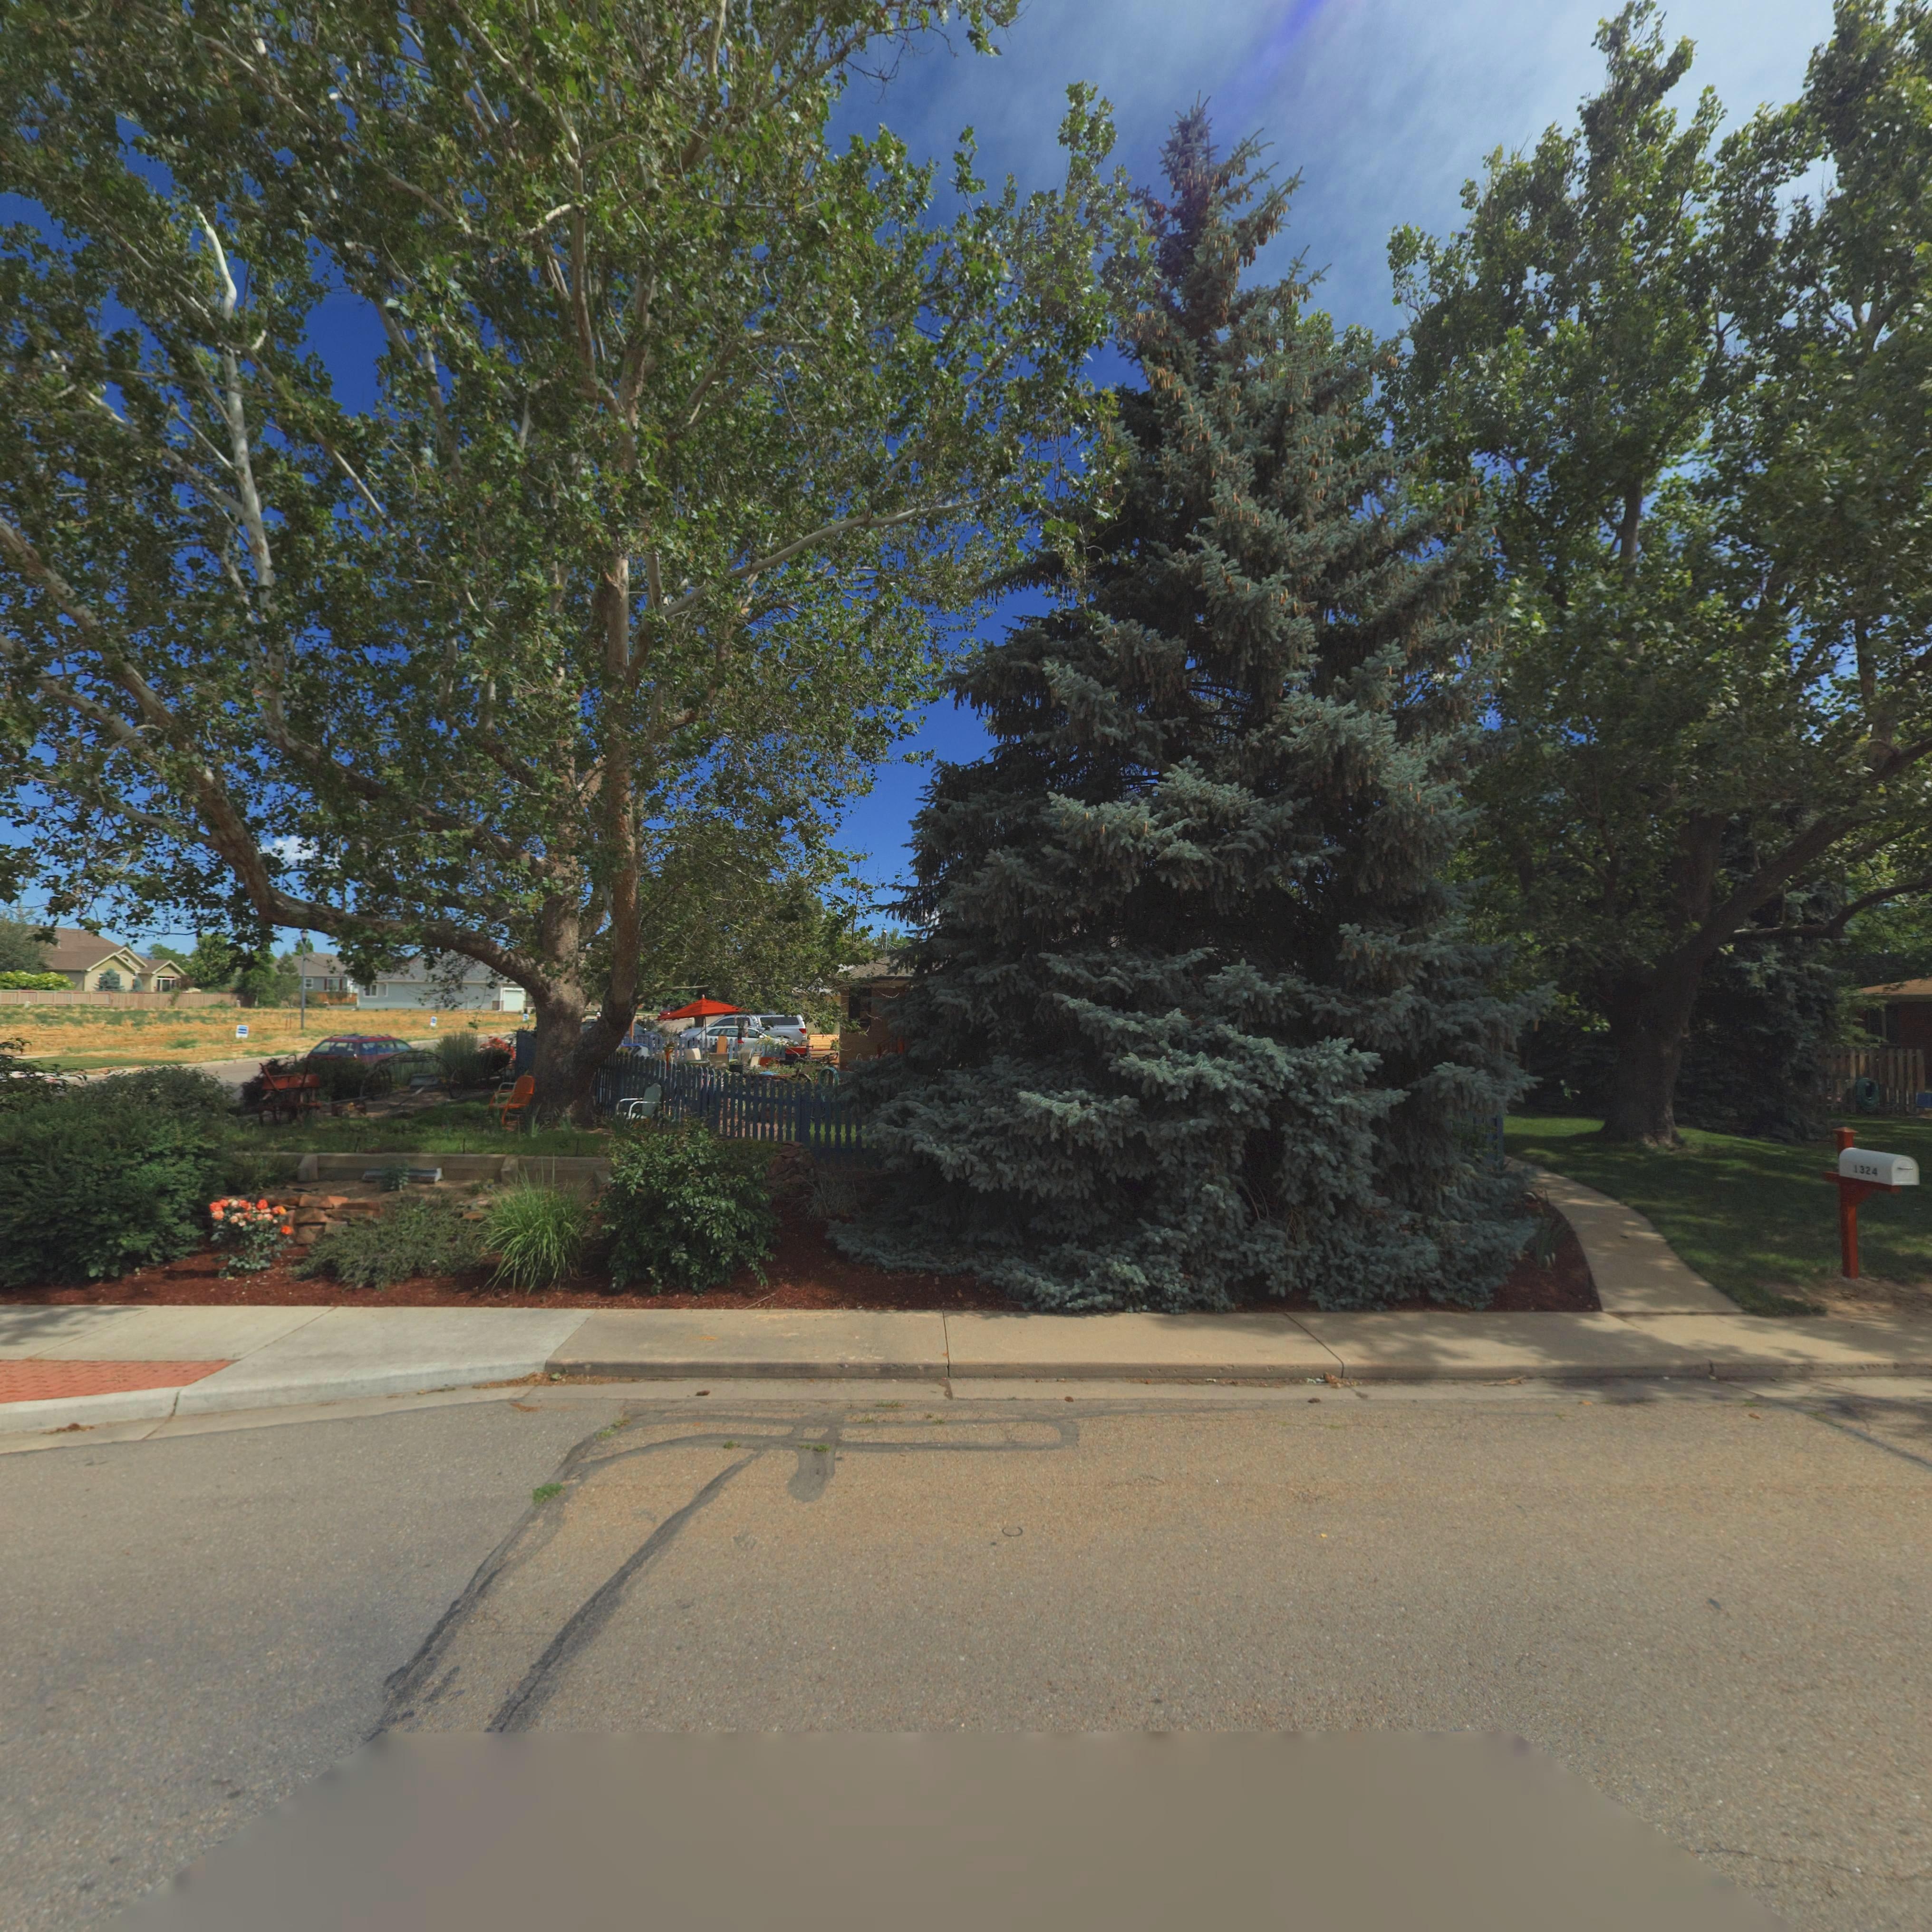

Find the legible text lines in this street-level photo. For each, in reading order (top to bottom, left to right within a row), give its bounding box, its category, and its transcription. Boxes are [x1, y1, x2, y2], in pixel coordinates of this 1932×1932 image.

[1854, 1164, 1878, 1177] StreetNumber: 1324